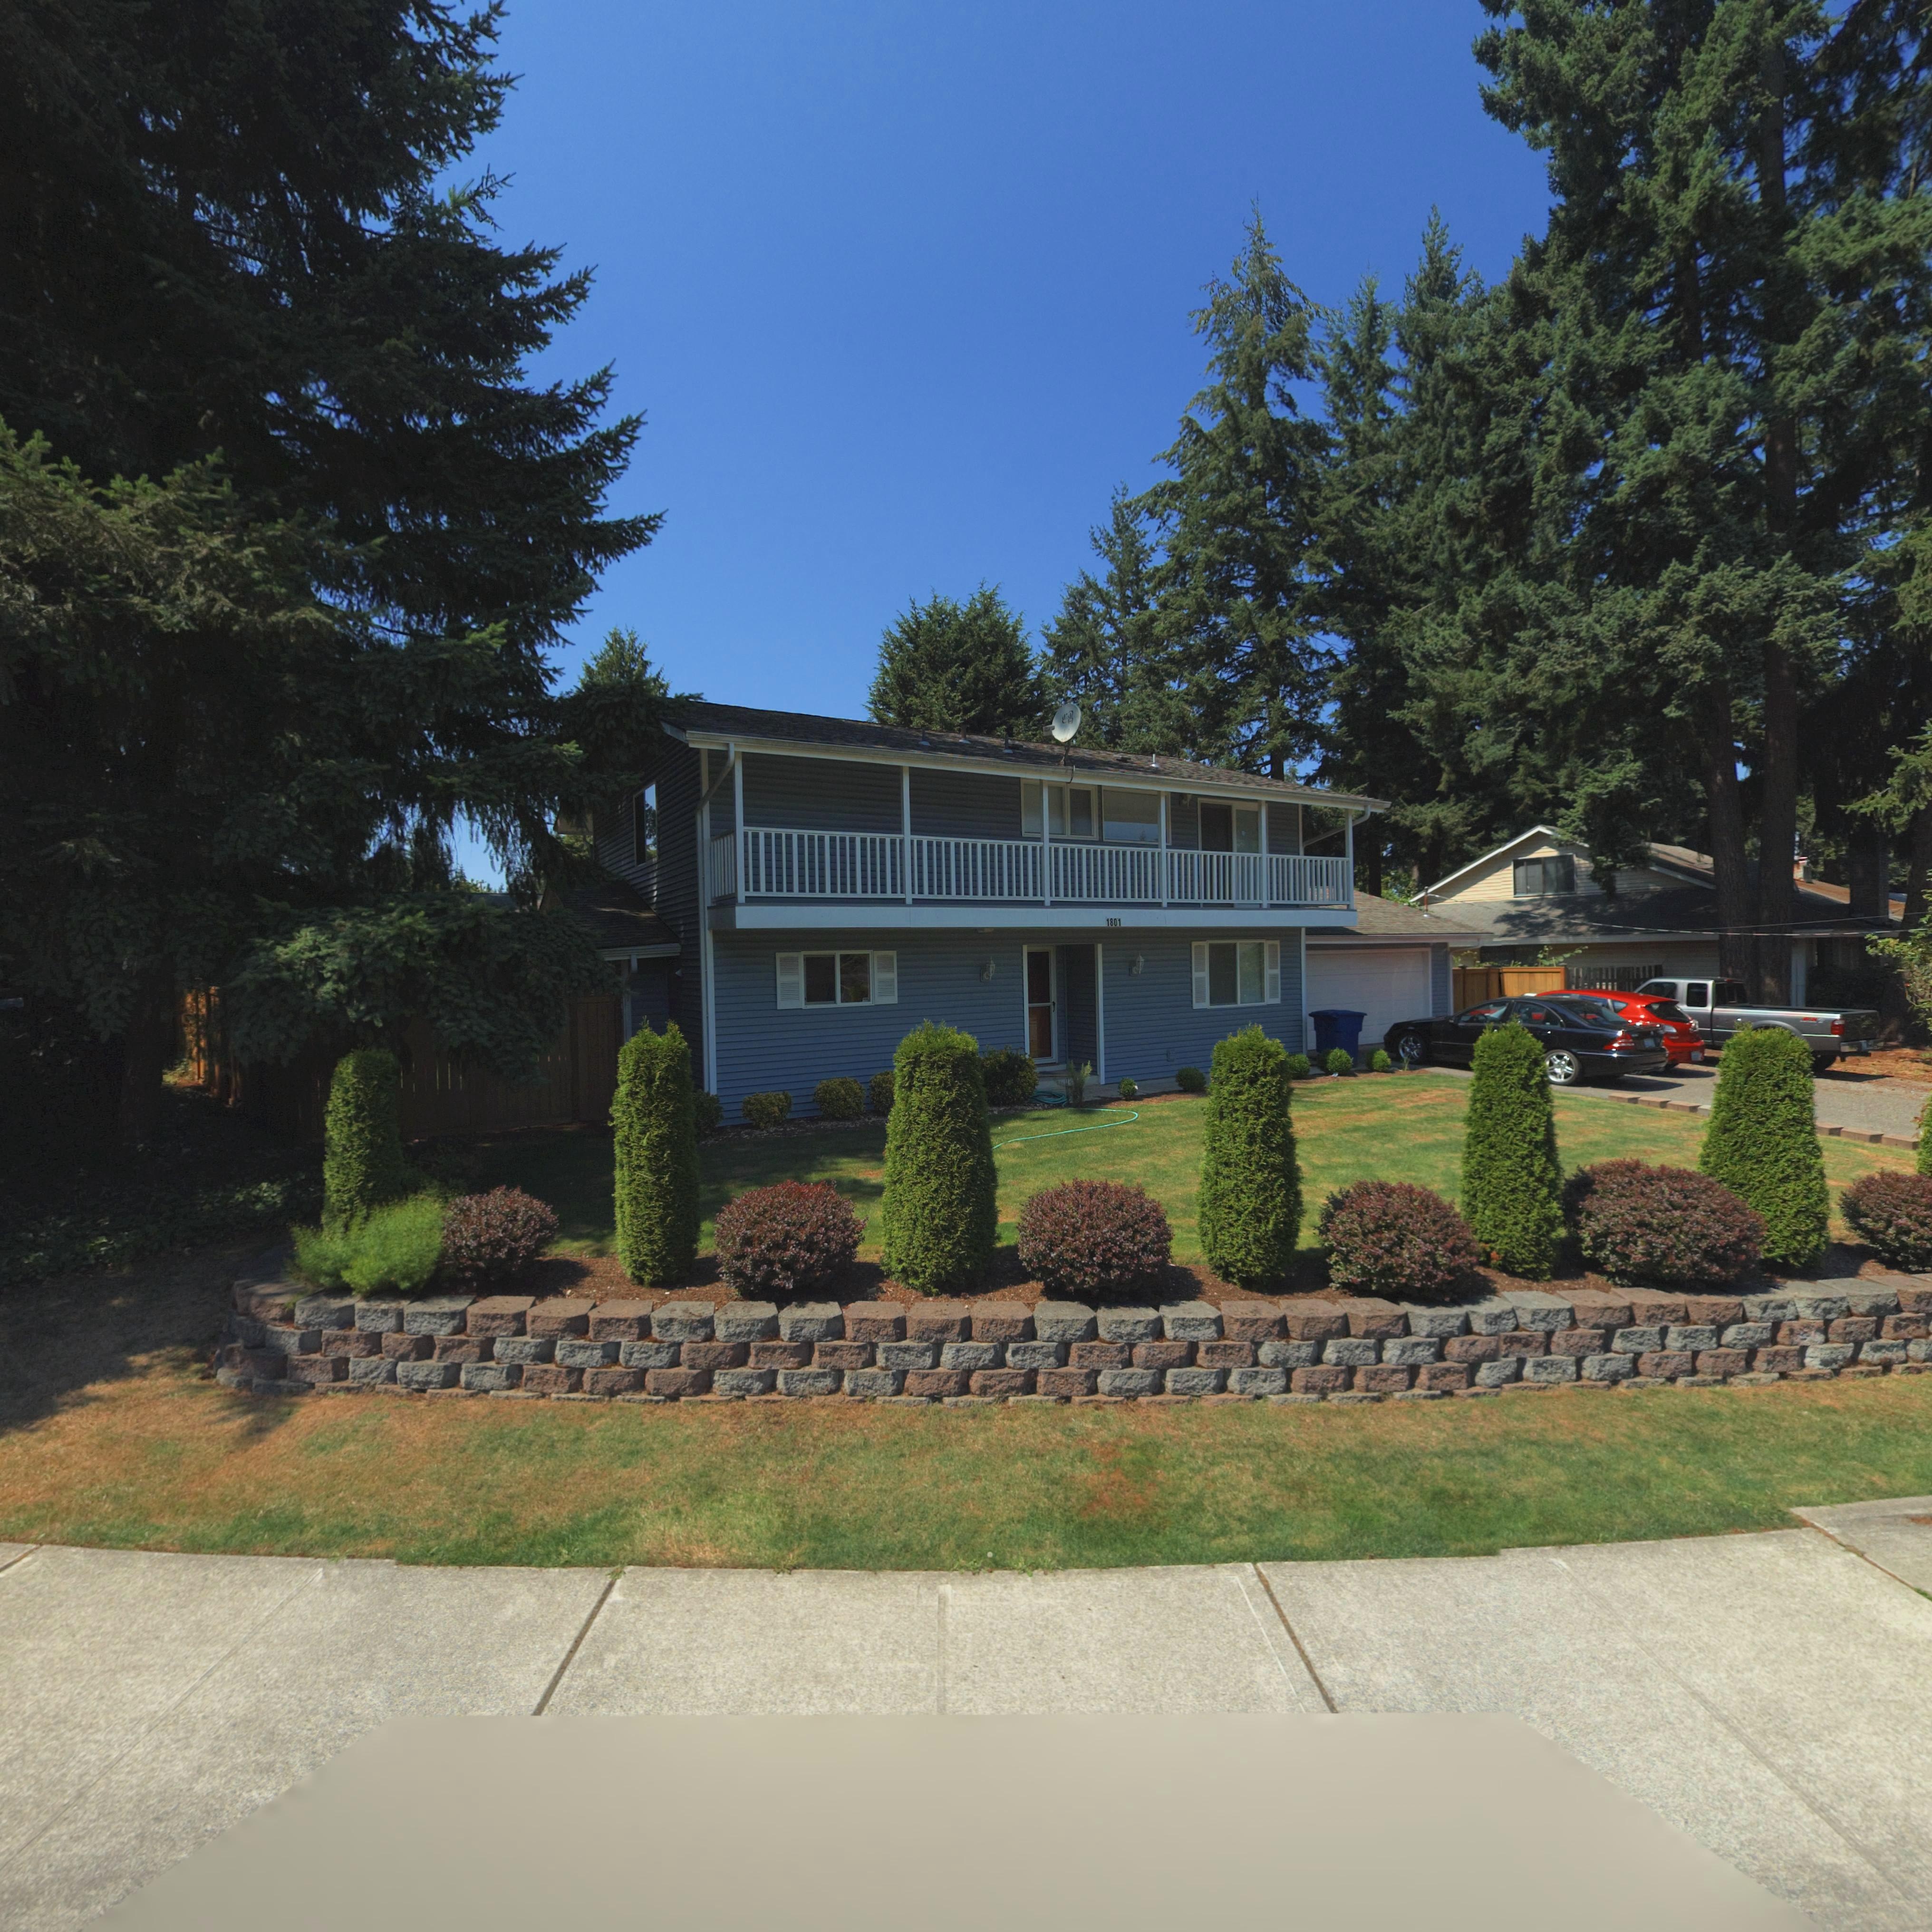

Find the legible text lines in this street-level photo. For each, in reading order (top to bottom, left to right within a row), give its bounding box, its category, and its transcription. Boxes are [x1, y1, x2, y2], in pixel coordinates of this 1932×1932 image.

[1105, 917, 1122, 927] StreetNumber: 1801